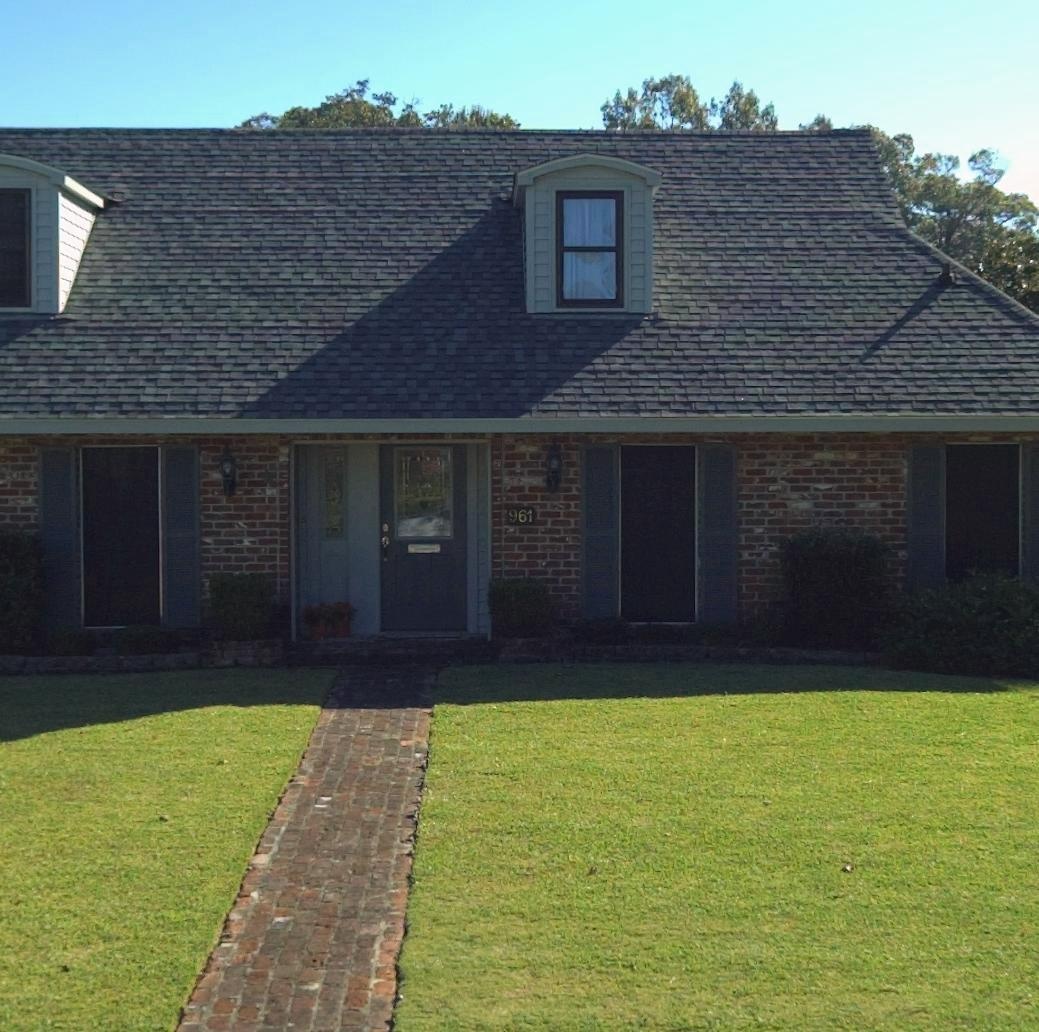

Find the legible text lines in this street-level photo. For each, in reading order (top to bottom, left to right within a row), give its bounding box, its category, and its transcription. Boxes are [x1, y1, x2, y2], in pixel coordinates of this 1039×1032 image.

[507, 508, 534, 524] StreetNumber: 961